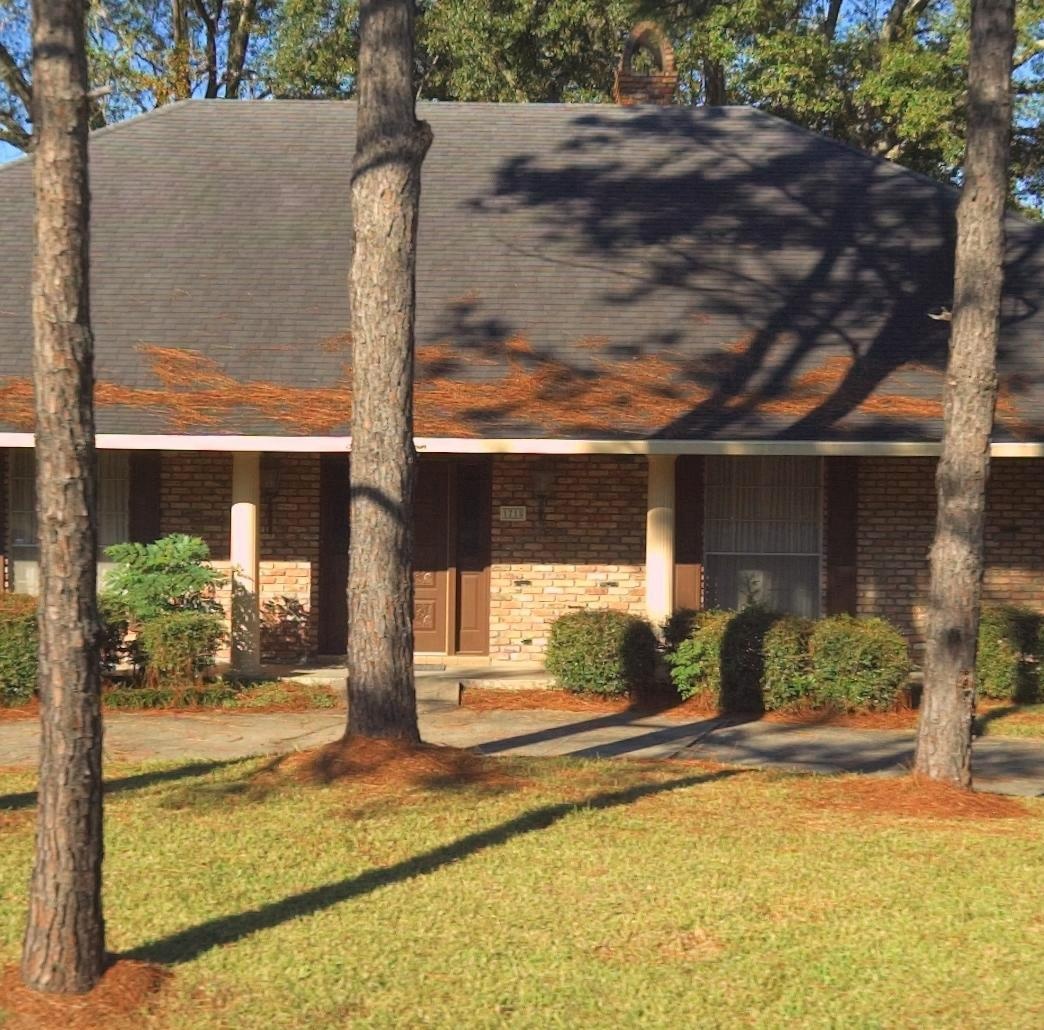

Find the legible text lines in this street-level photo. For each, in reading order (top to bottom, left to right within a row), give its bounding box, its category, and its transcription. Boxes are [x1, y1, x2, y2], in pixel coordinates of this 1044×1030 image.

[502, 507, 525, 519] StreetNumber: 171*